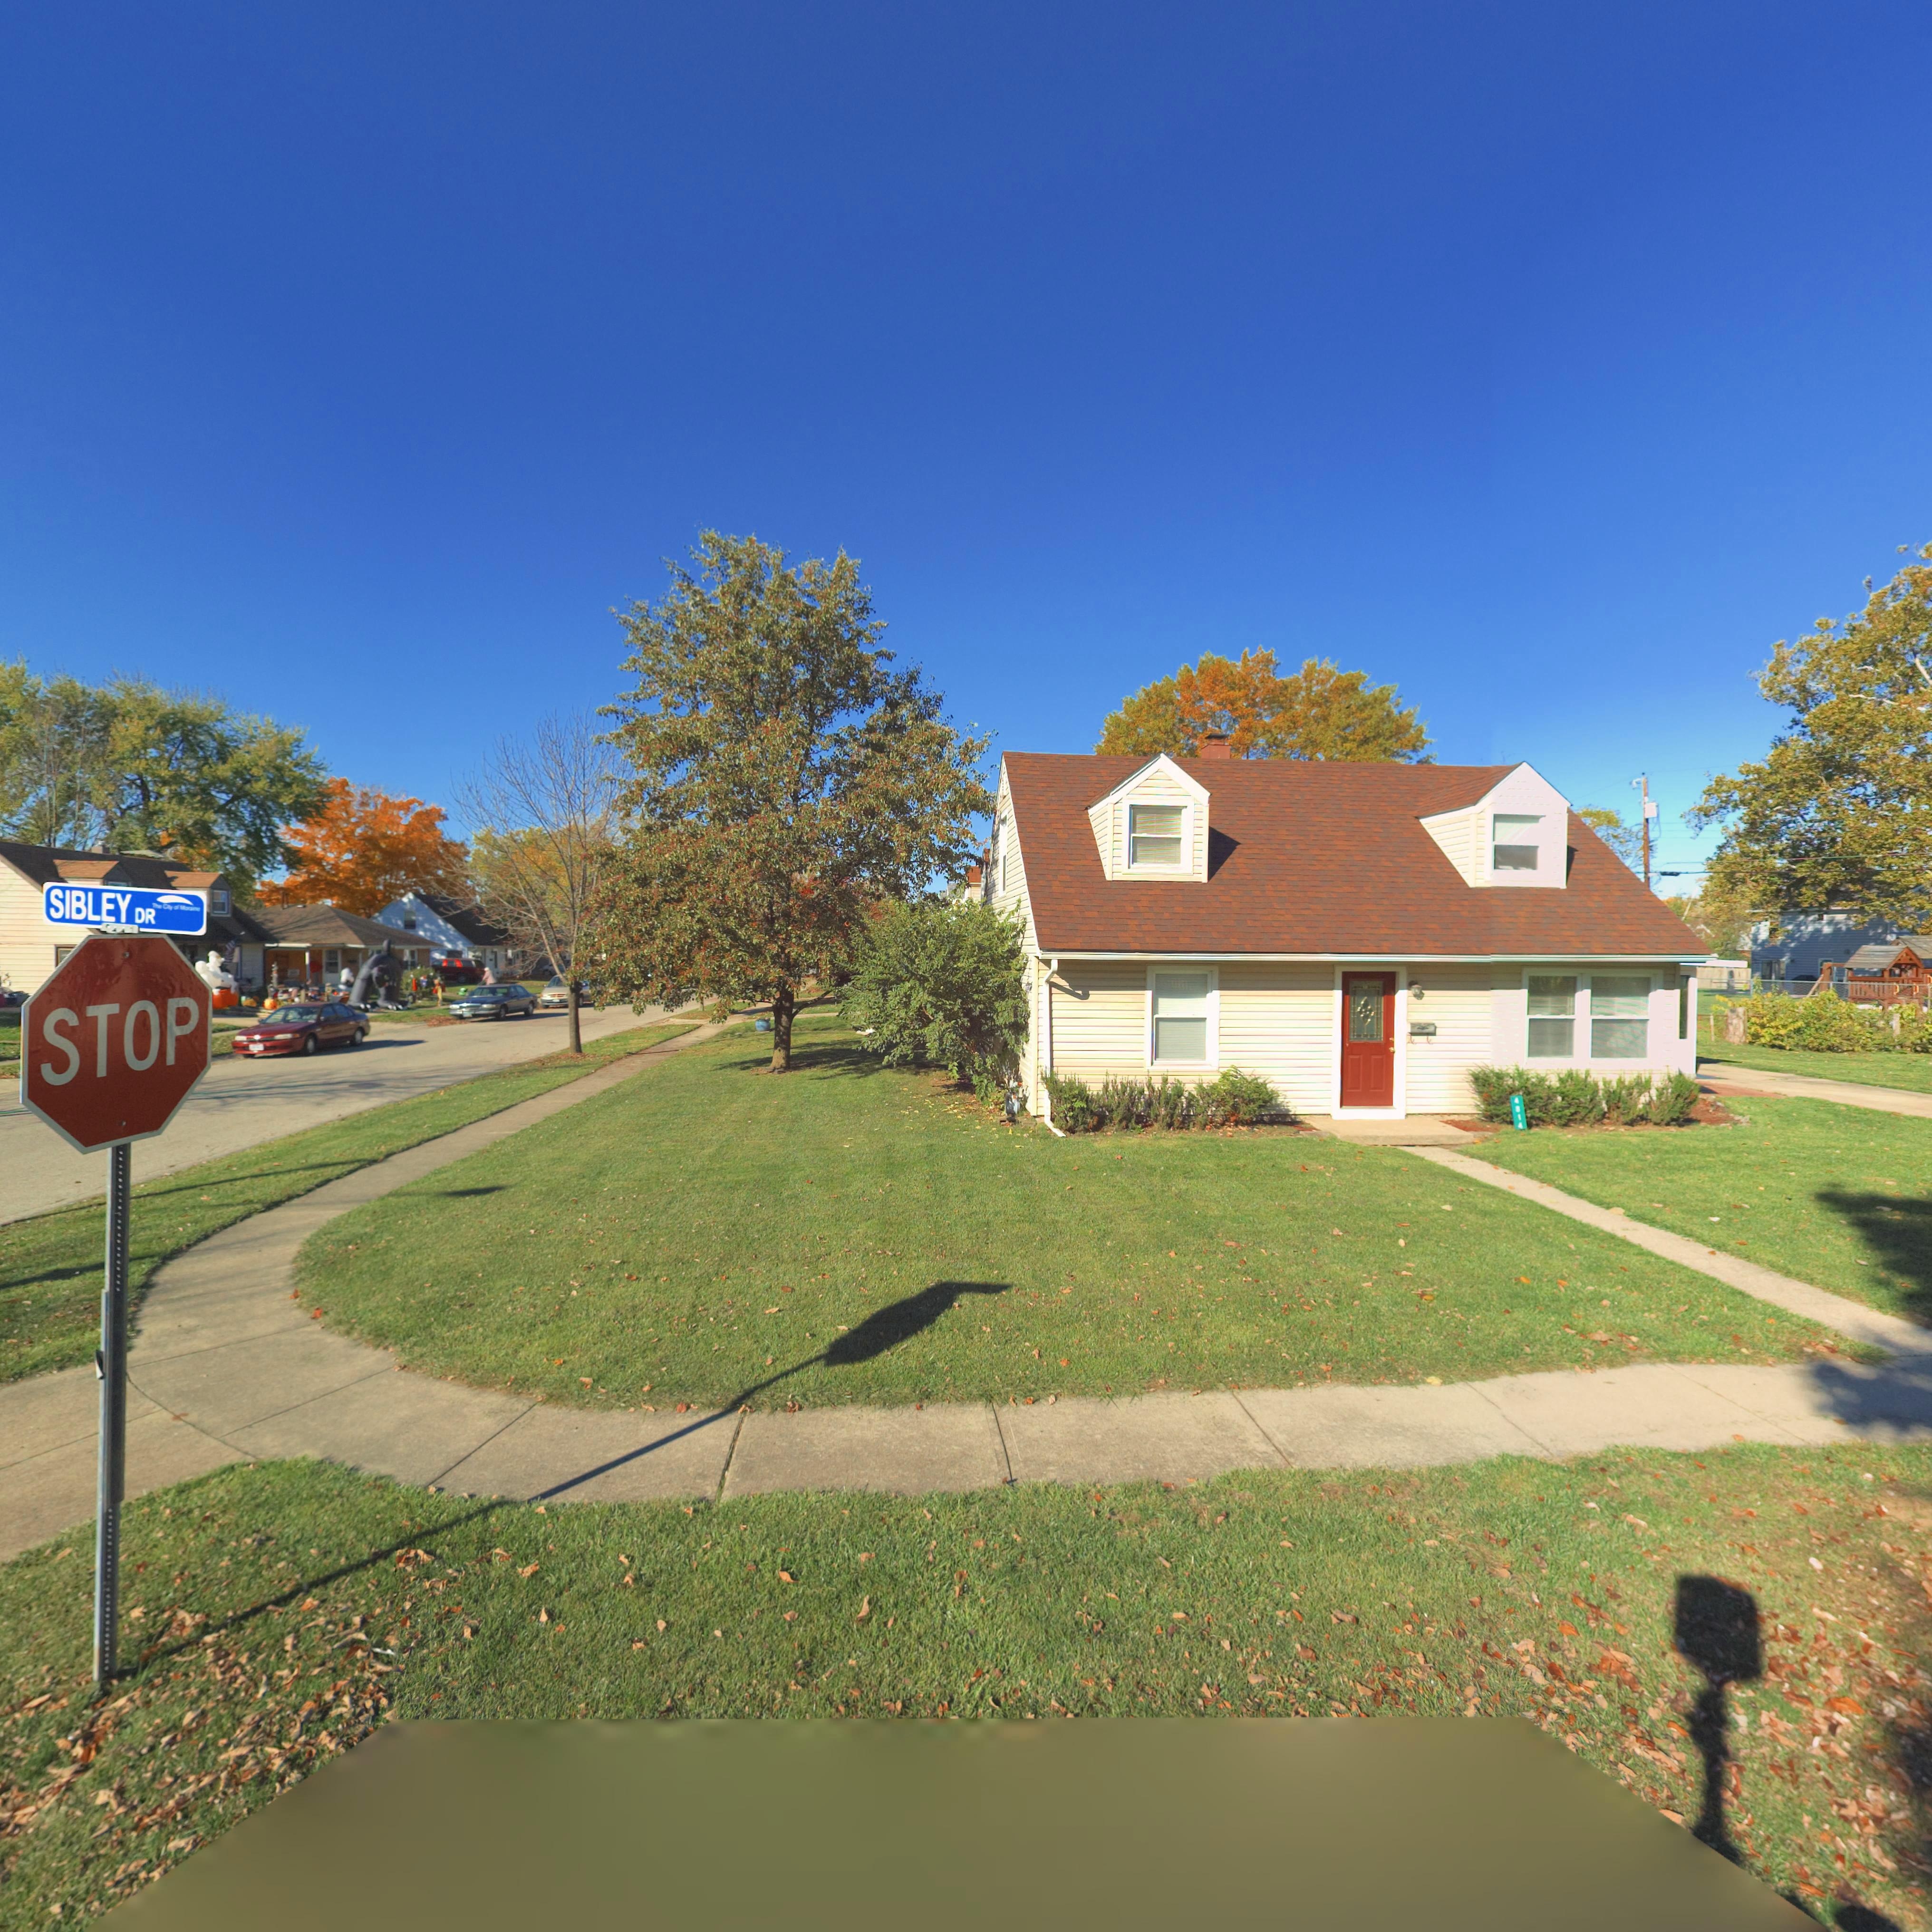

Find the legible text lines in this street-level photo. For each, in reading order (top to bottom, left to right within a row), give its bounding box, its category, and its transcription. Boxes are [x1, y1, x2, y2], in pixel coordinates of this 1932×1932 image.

[1513, 1096, 1524, 1130] StreetNumber: **1*